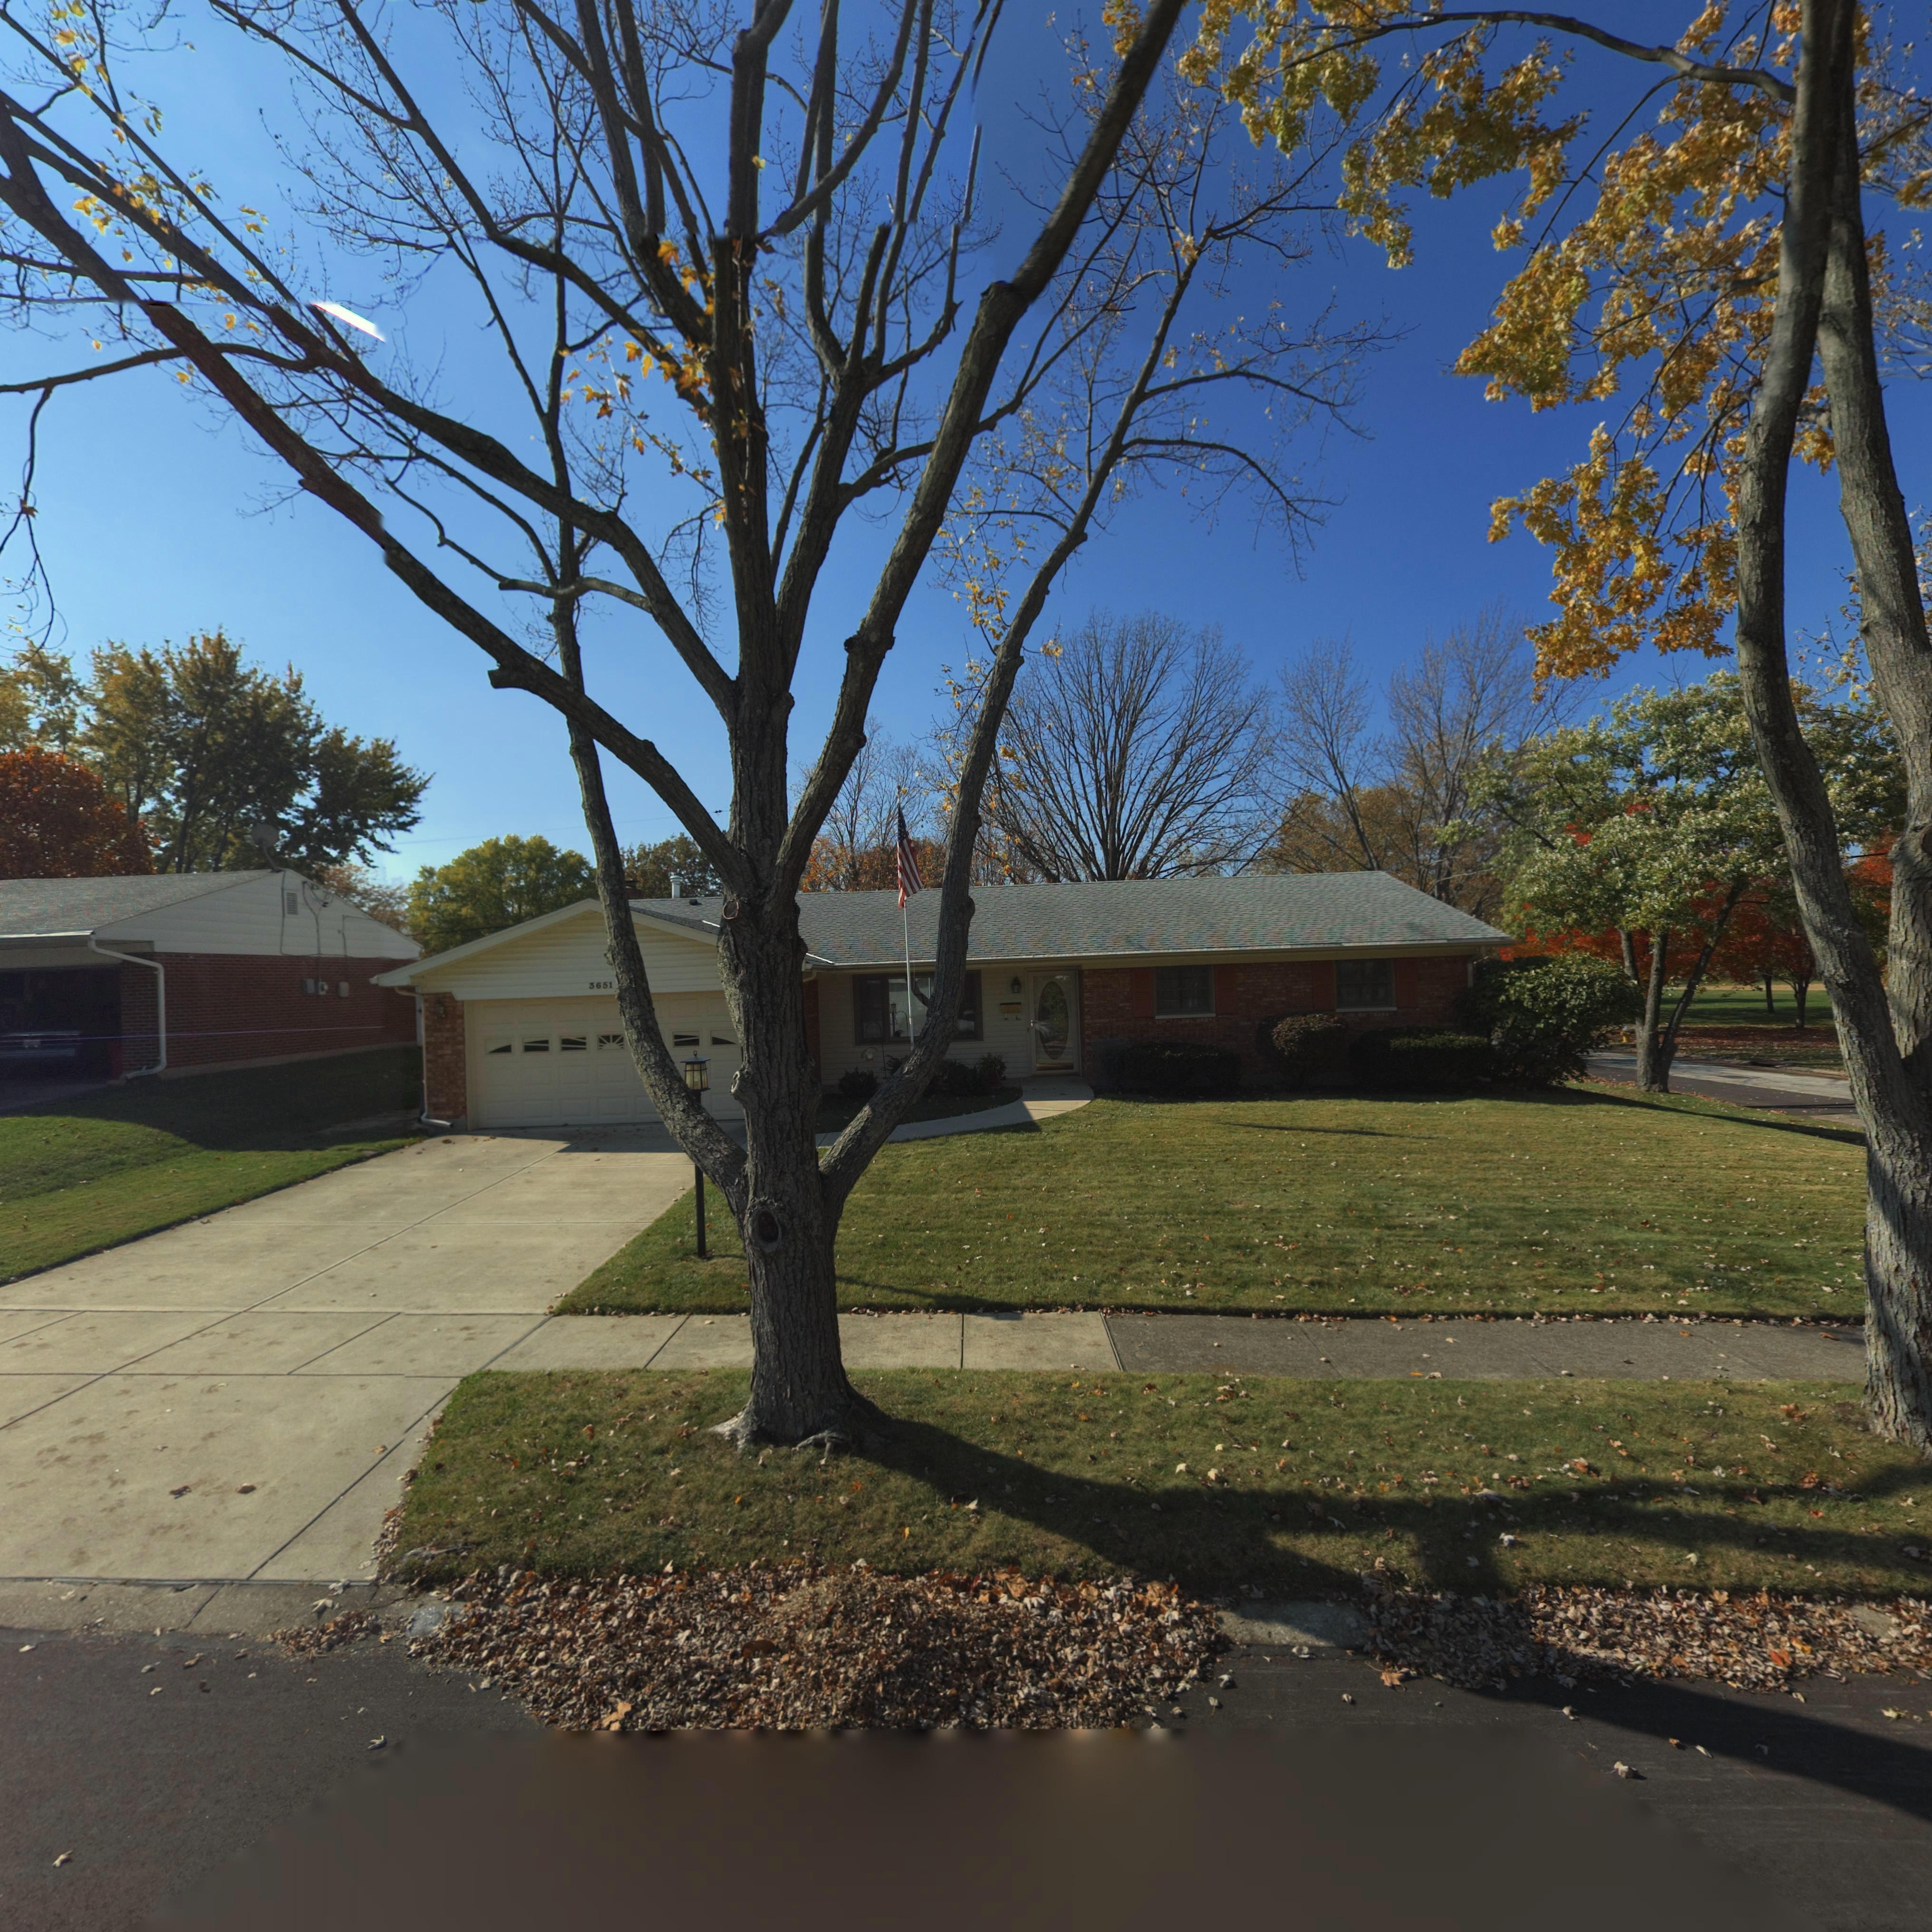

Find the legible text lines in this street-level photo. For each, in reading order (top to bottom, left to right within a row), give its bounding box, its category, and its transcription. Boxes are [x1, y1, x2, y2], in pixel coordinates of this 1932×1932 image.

[588, 980, 614, 990] StreetNumber: 3651